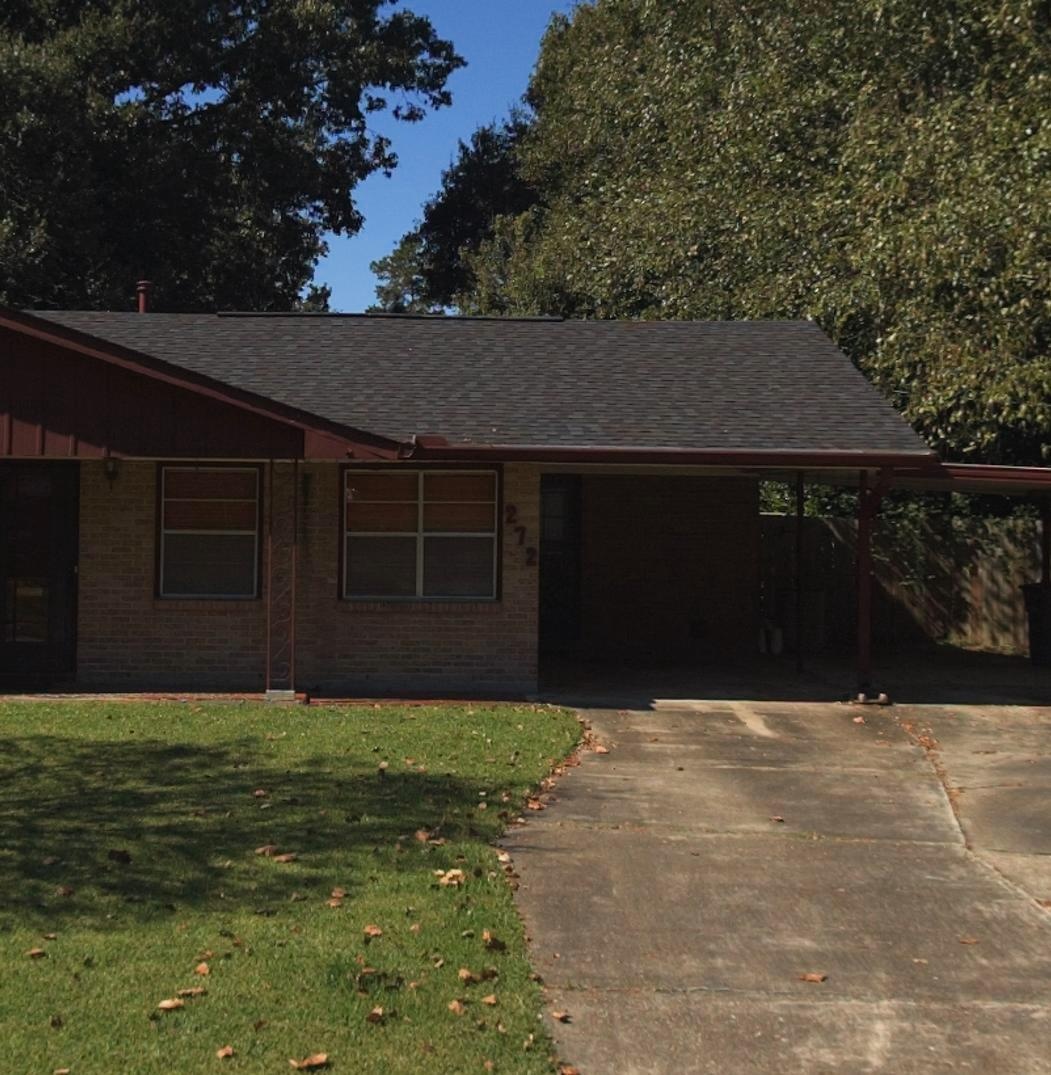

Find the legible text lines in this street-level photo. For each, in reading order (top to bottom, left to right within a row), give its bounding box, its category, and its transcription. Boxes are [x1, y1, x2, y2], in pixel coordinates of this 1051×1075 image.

[502, 502, 542, 573] StreetNumber: 272